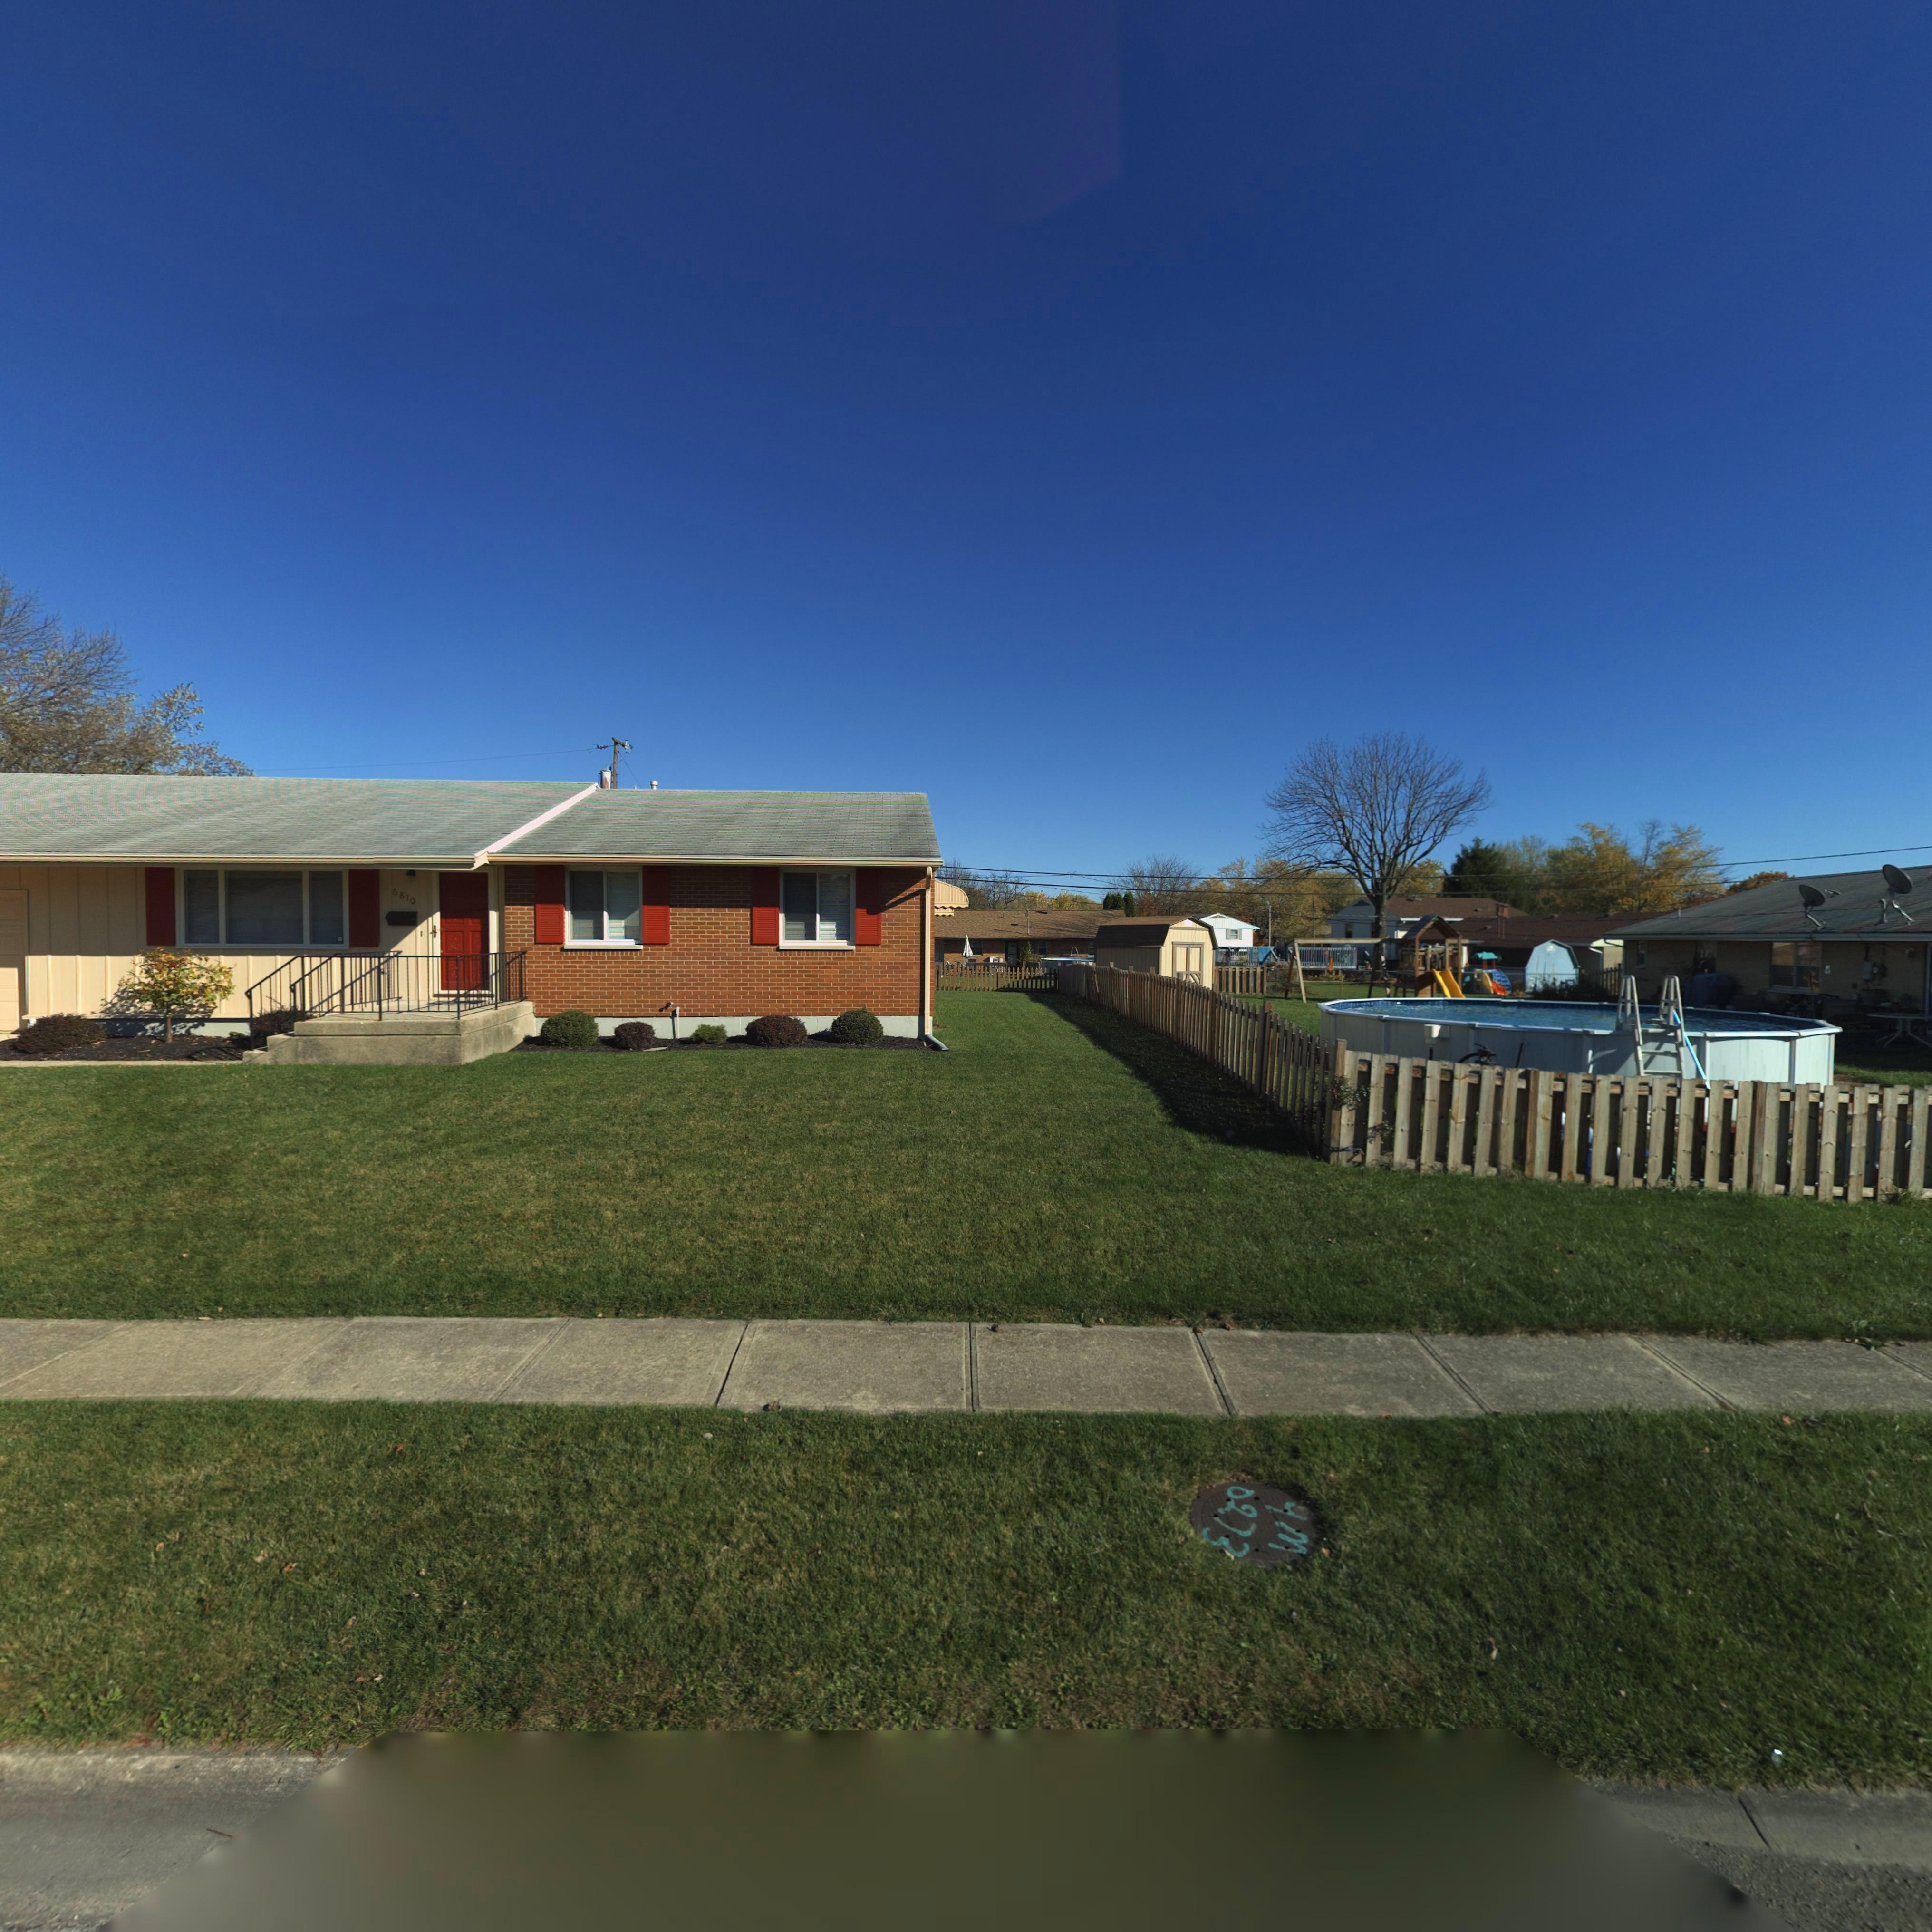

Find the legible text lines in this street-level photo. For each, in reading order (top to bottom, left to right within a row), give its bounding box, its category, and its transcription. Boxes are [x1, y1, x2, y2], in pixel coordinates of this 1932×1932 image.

[391, 887, 416, 906] StreetNumber: 6810